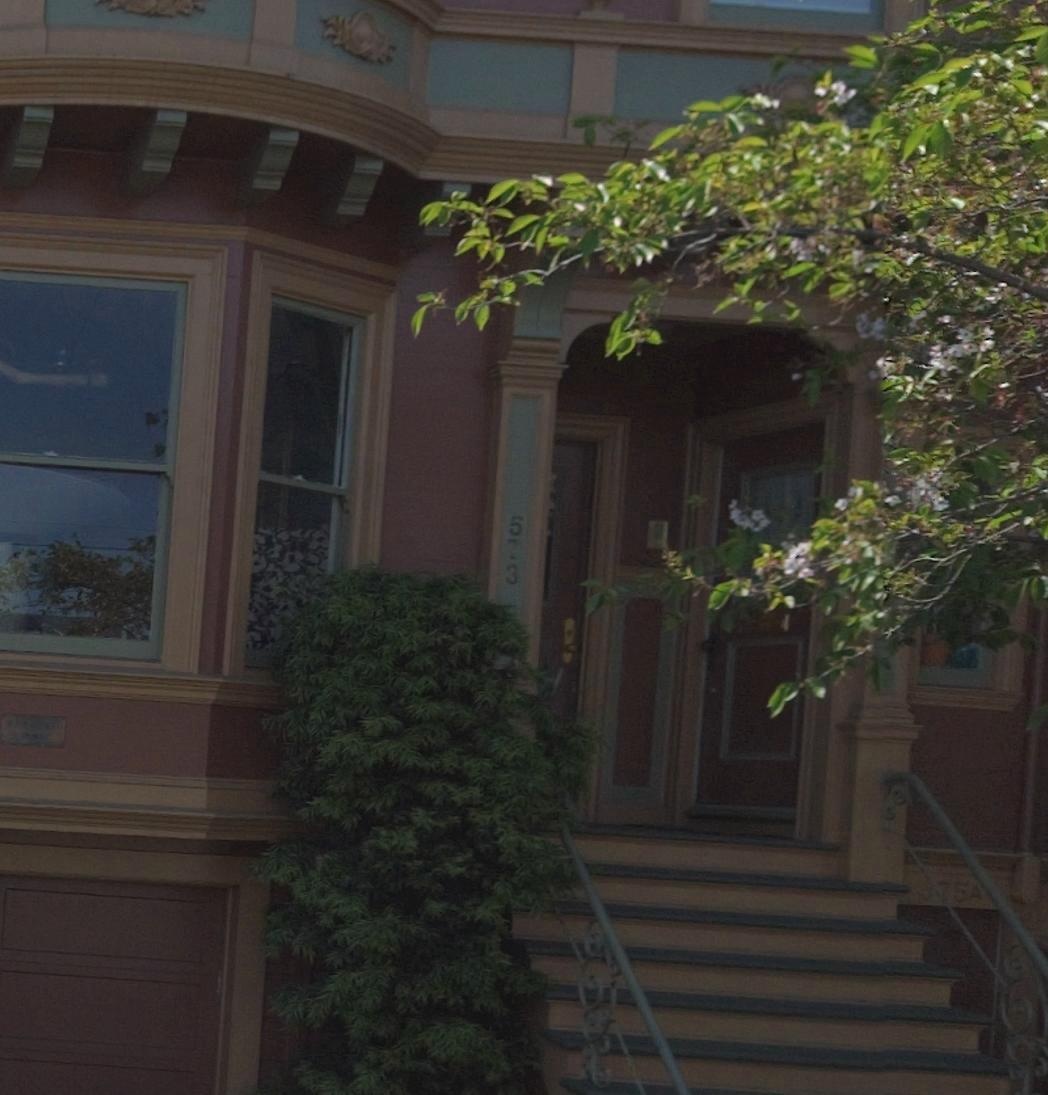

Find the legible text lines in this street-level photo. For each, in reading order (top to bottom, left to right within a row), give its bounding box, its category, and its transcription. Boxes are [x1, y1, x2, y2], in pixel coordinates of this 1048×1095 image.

[502, 511, 527, 590] StreetNumber: 573
[953, 878, 987, 908] StreetNumber: 5A